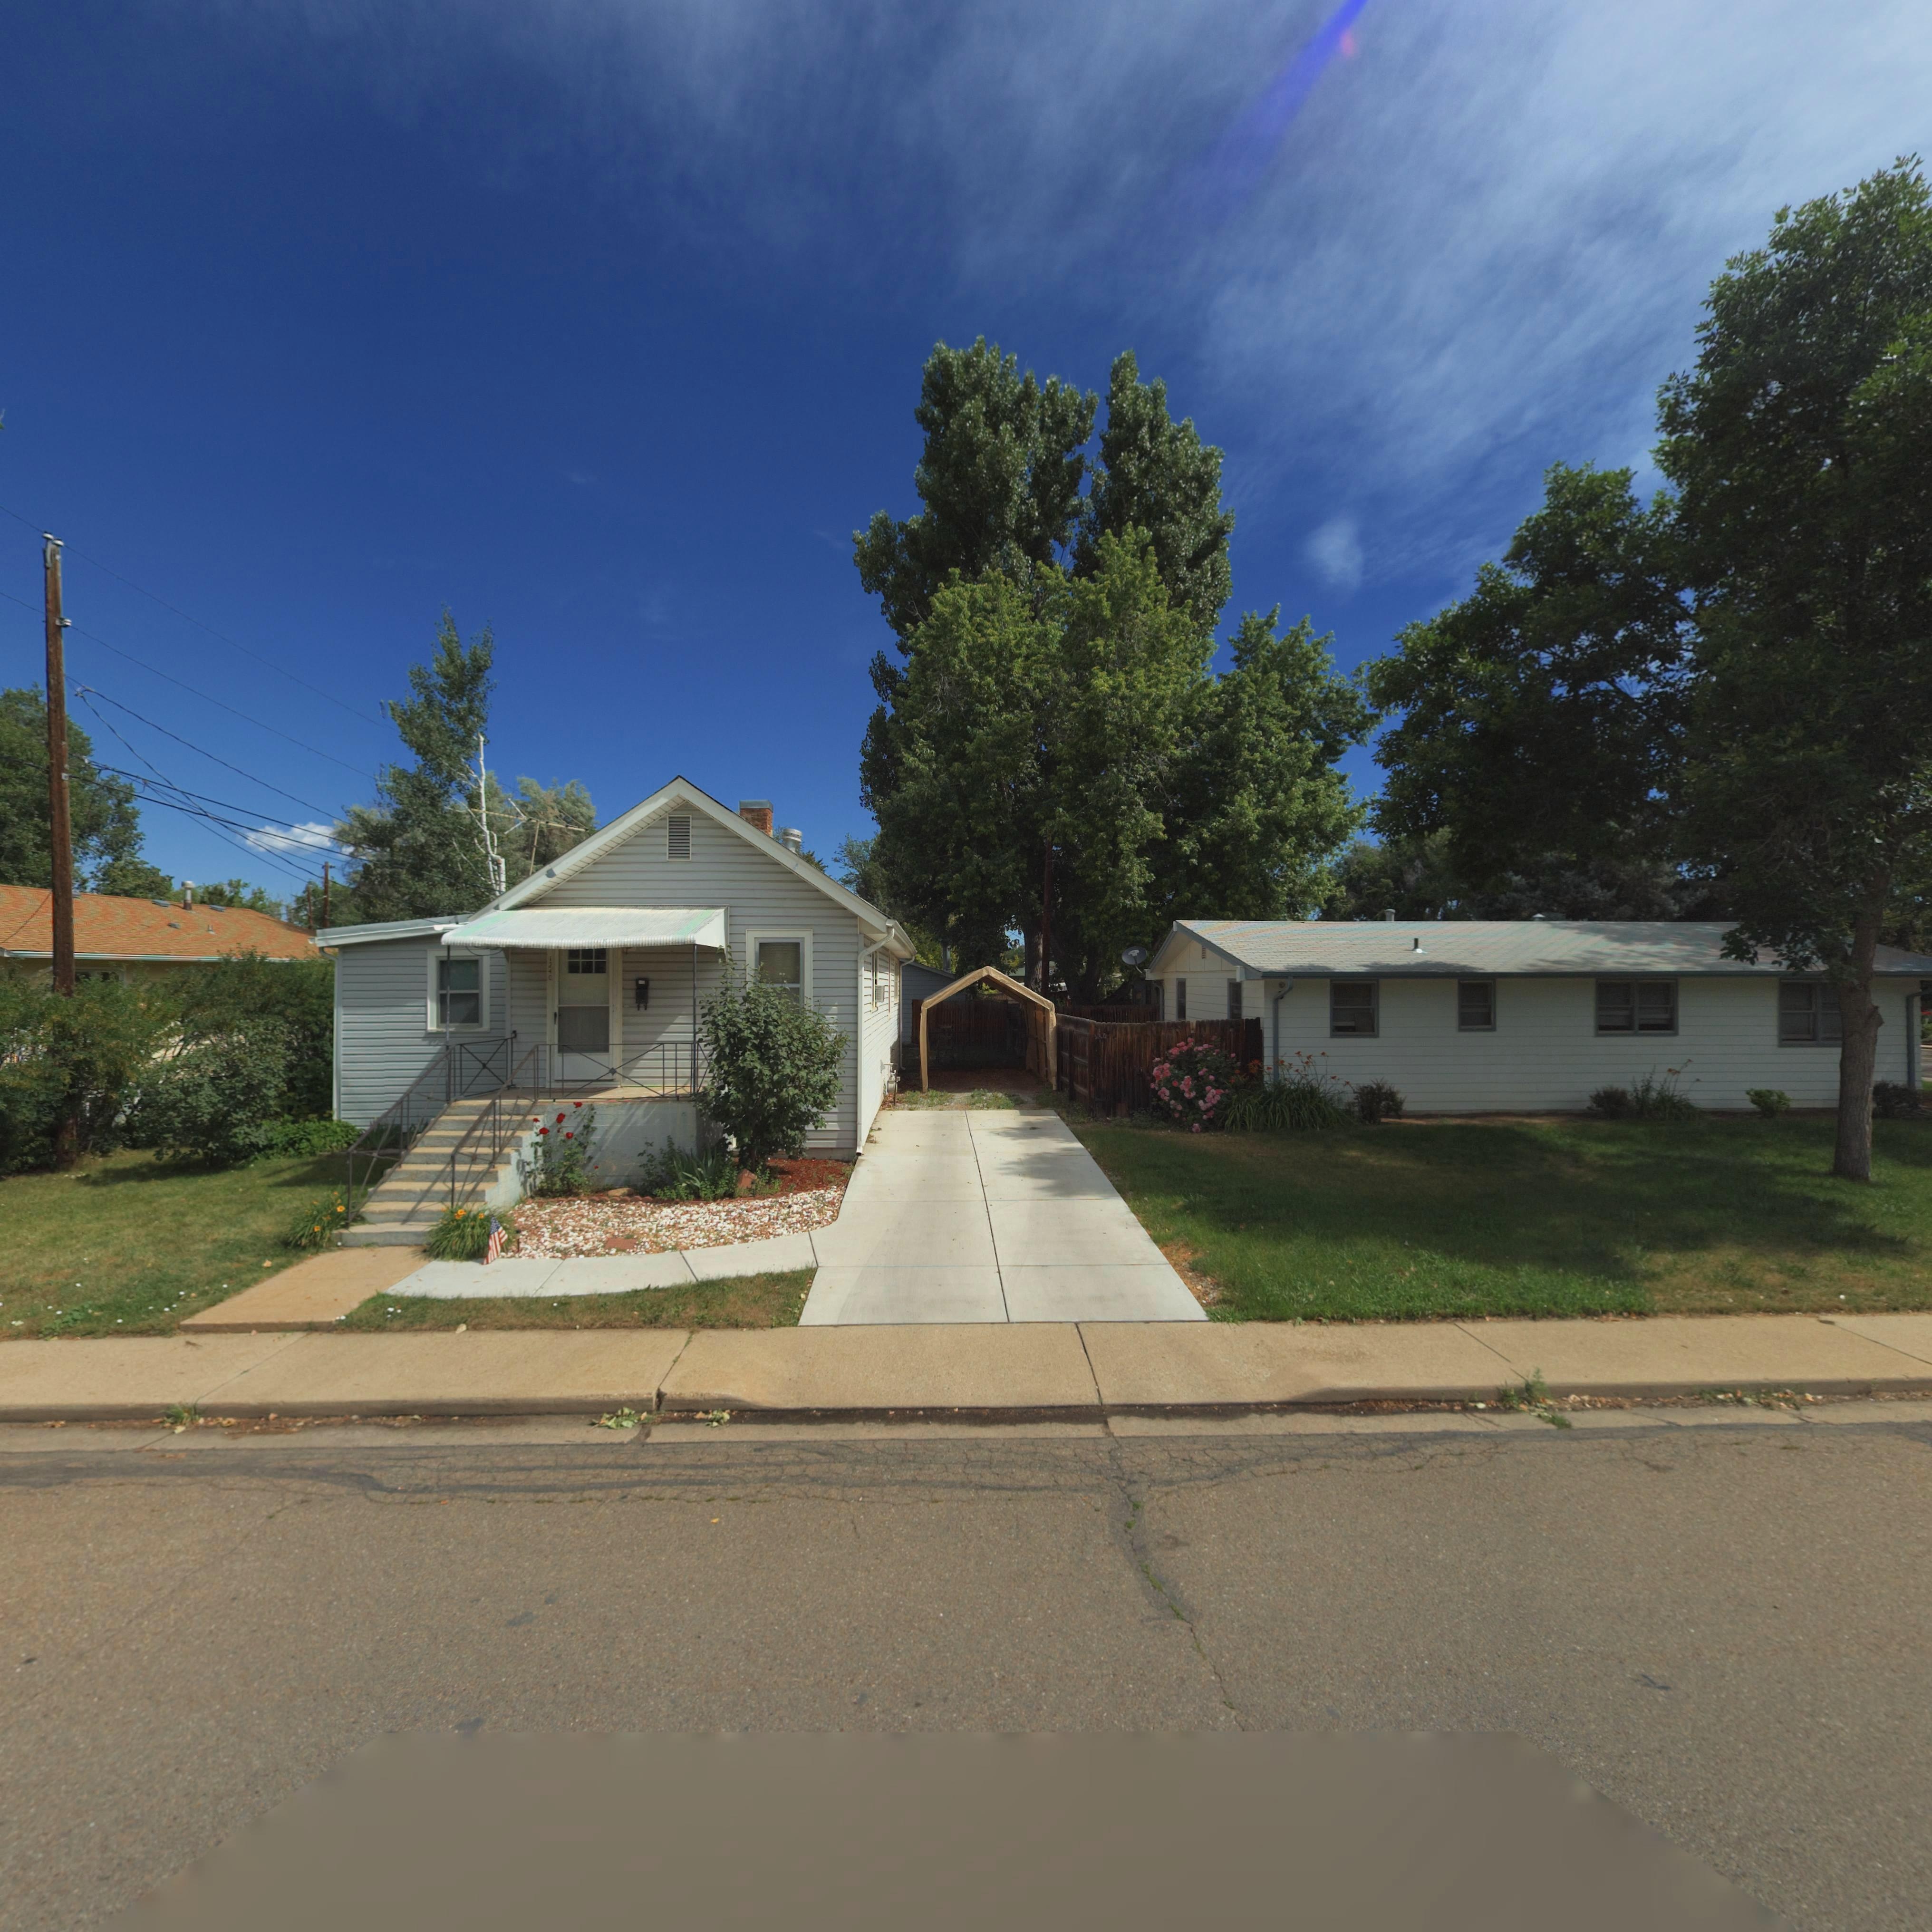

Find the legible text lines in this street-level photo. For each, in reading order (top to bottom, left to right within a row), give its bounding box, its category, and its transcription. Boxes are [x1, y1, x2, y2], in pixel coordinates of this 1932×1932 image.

[548, 955, 552, 981] StreetNumber: 1240